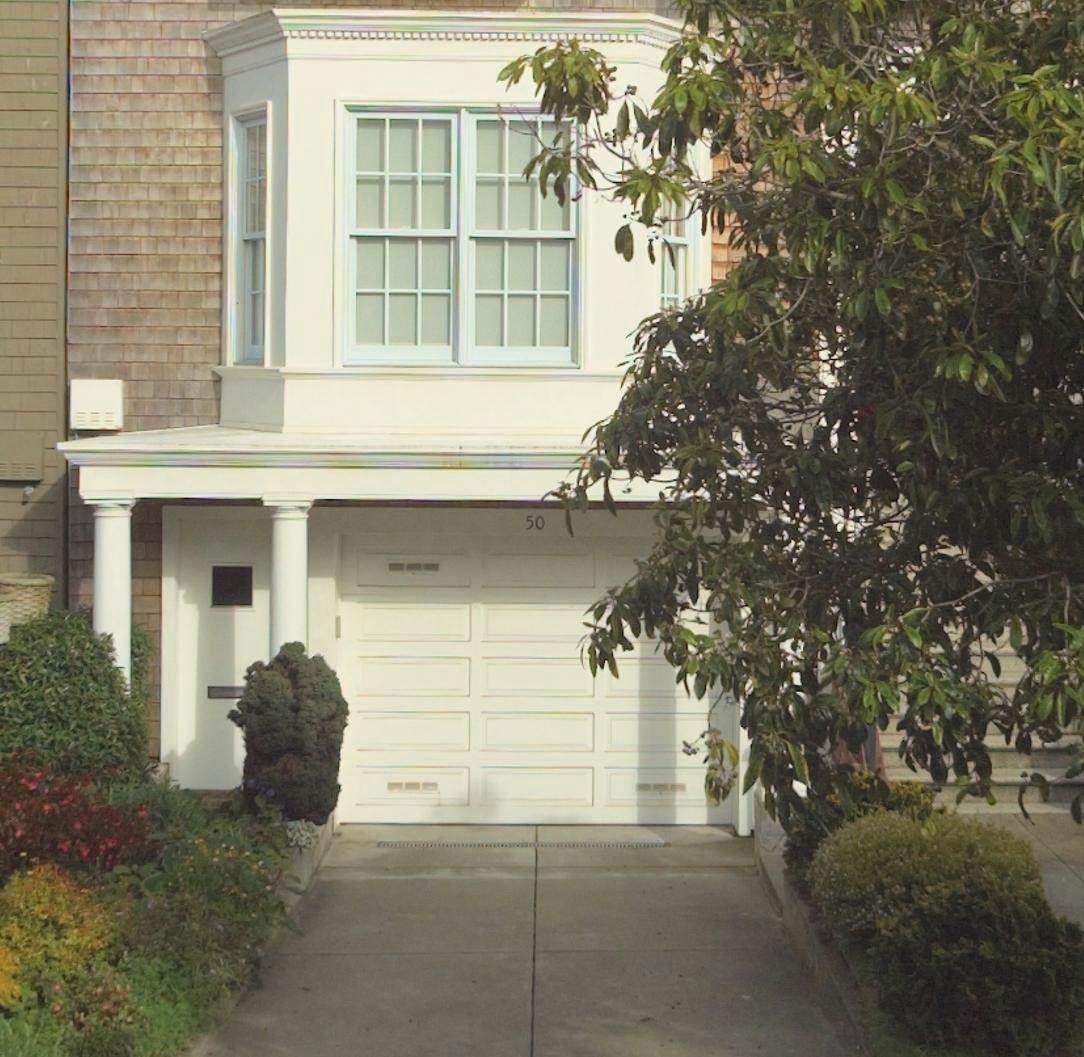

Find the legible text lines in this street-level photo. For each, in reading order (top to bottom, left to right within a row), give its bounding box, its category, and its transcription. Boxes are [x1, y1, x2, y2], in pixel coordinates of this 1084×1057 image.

[525, 514, 546, 531] StreetNumber: 50